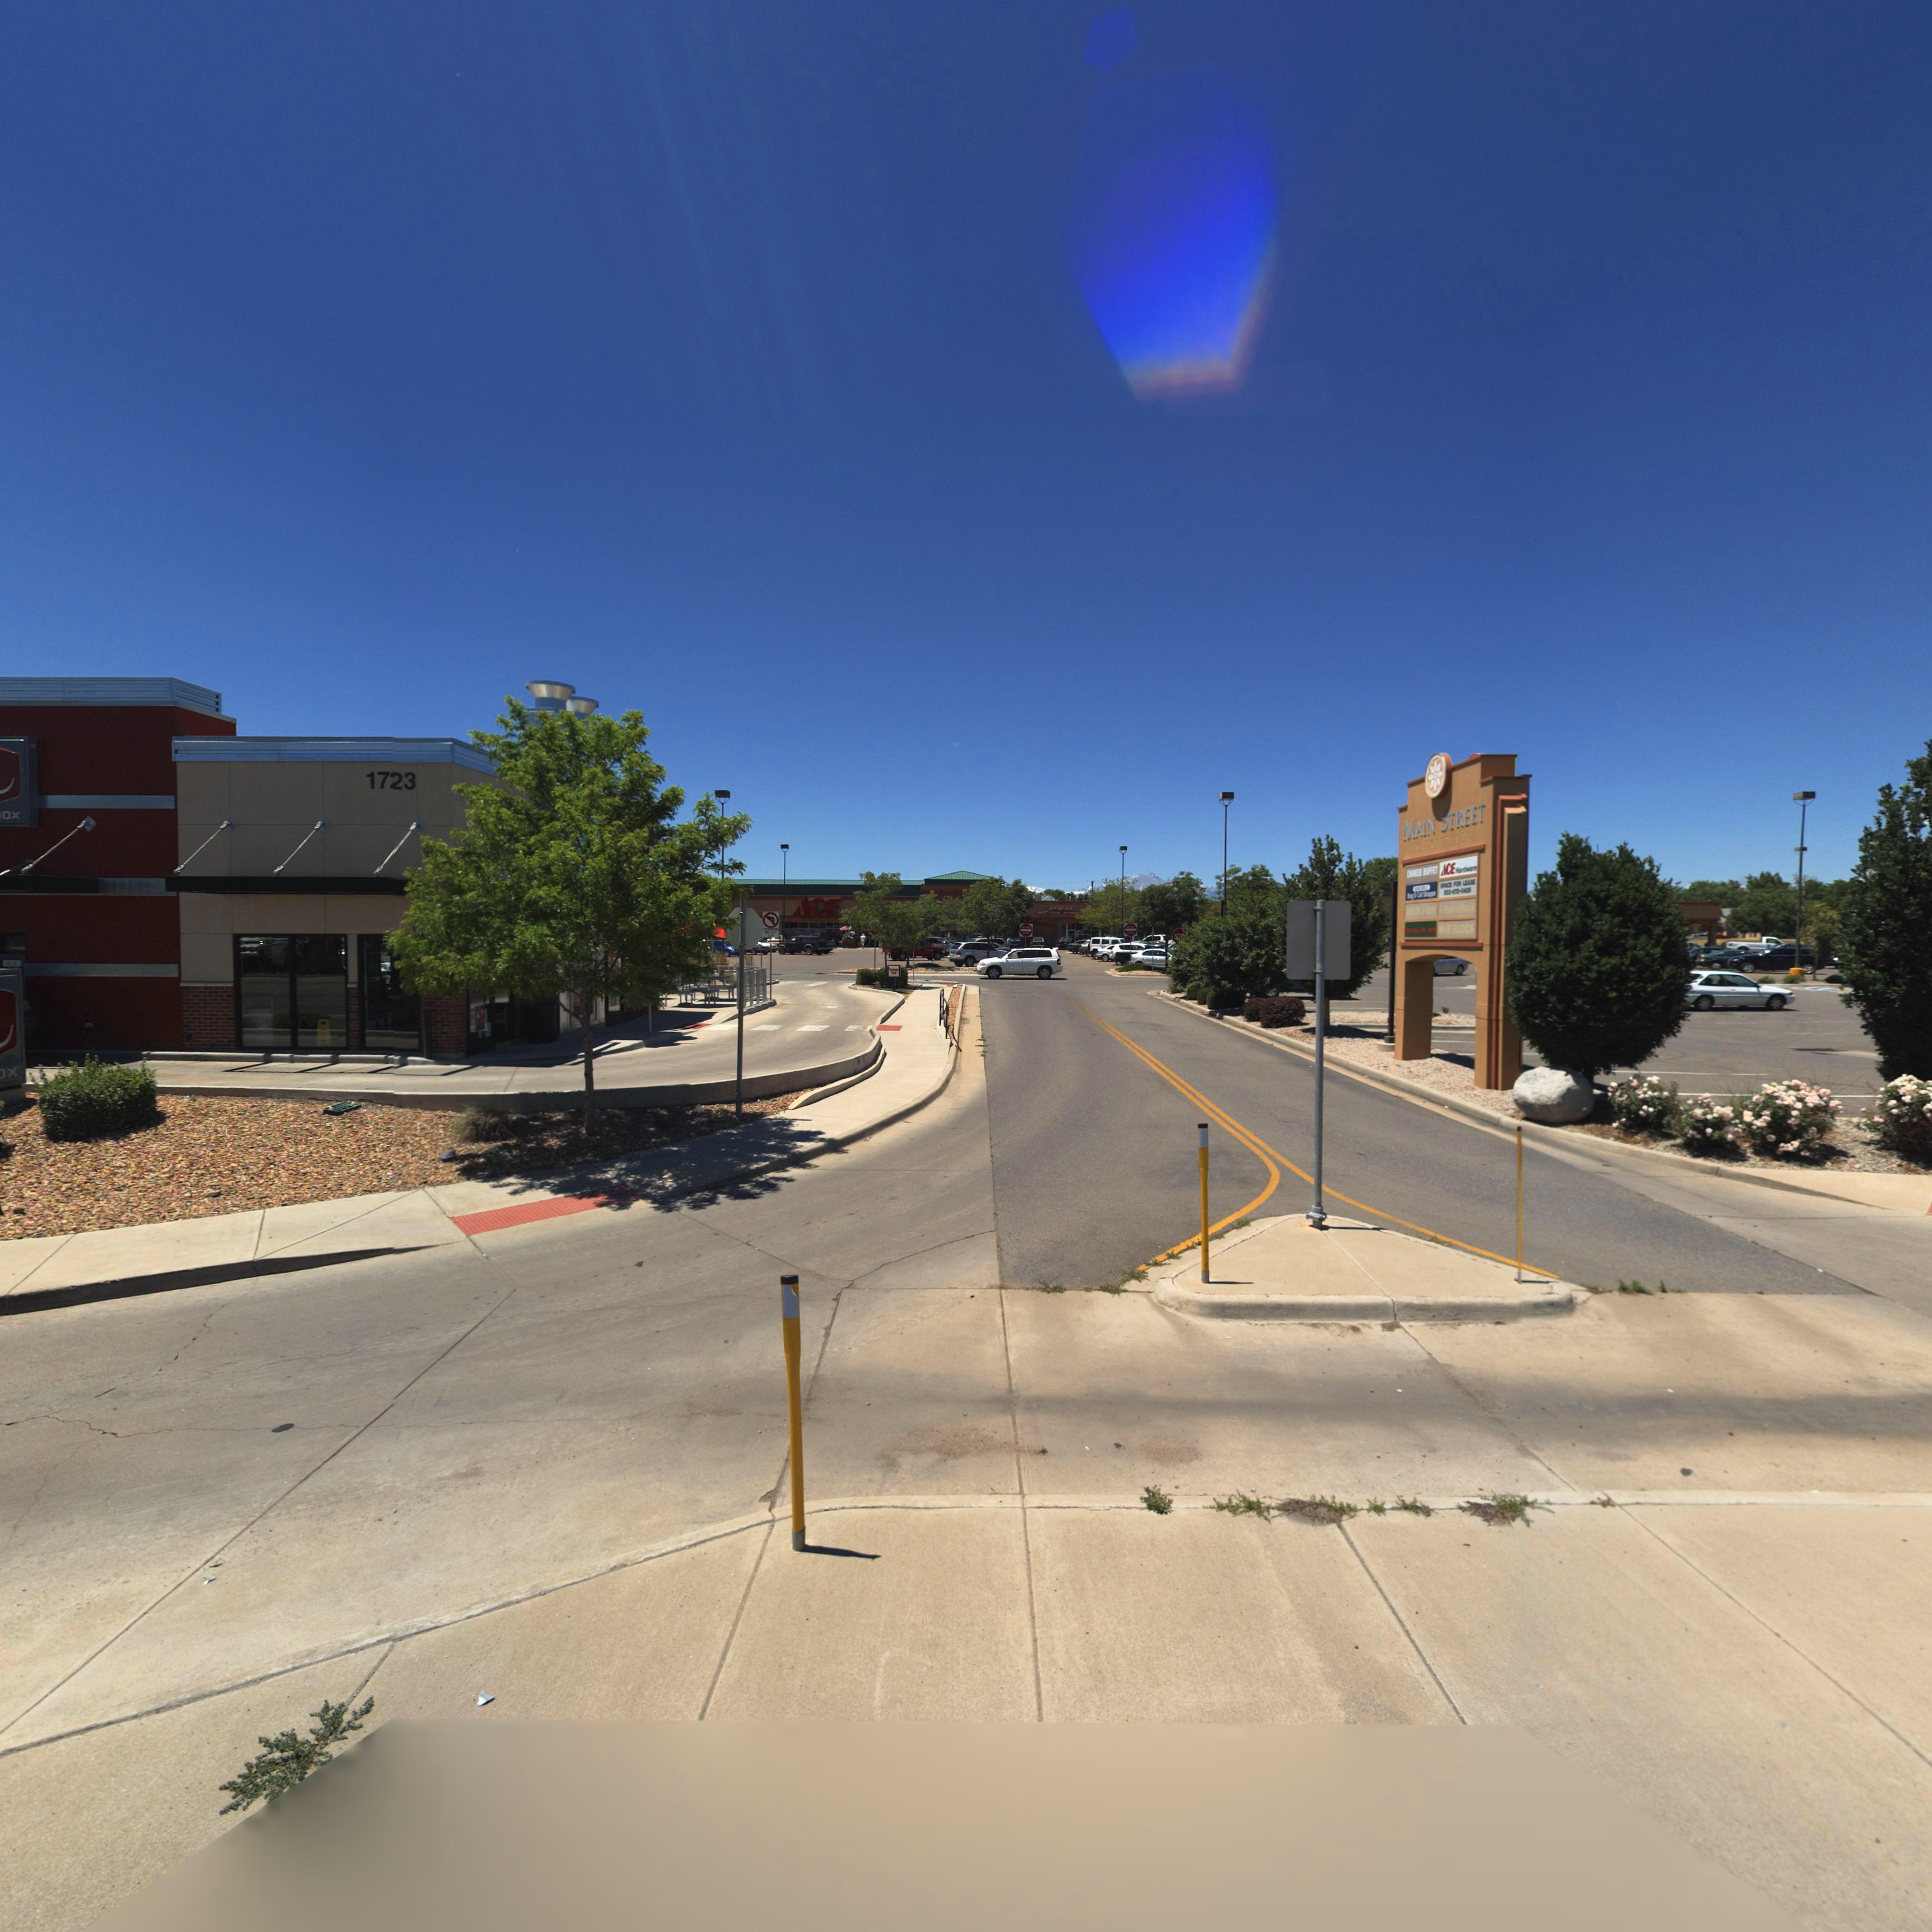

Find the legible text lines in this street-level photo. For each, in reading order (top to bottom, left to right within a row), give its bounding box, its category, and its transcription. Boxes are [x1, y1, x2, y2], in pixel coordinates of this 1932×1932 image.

[367, 772, 415, 790] StreetNumber: 1723
[2, 811, 22, 820] BusinessName: ox
[1405, 865, 1438, 878] BusinessName: CHINESE BUFFET
[1440, 862, 1456, 876] BusinessName: ACE
[1455, 865, 1477, 874] BusinessName: Hardware
[1407, 890, 1436, 900] BusinessName: Dog & Cat Shoppe
[792, 895, 841, 916] BusinessName: ACE
[1443, 902, 1476, 913] BusinessName: R**** Sh*ck
[1405, 926, 1436, 933] BusinessName: S*** & C***
[1439, 922, 1475, 934] StreetName: H&R BLOCK
[6, 1066, 18, 1078] BusinessName: x